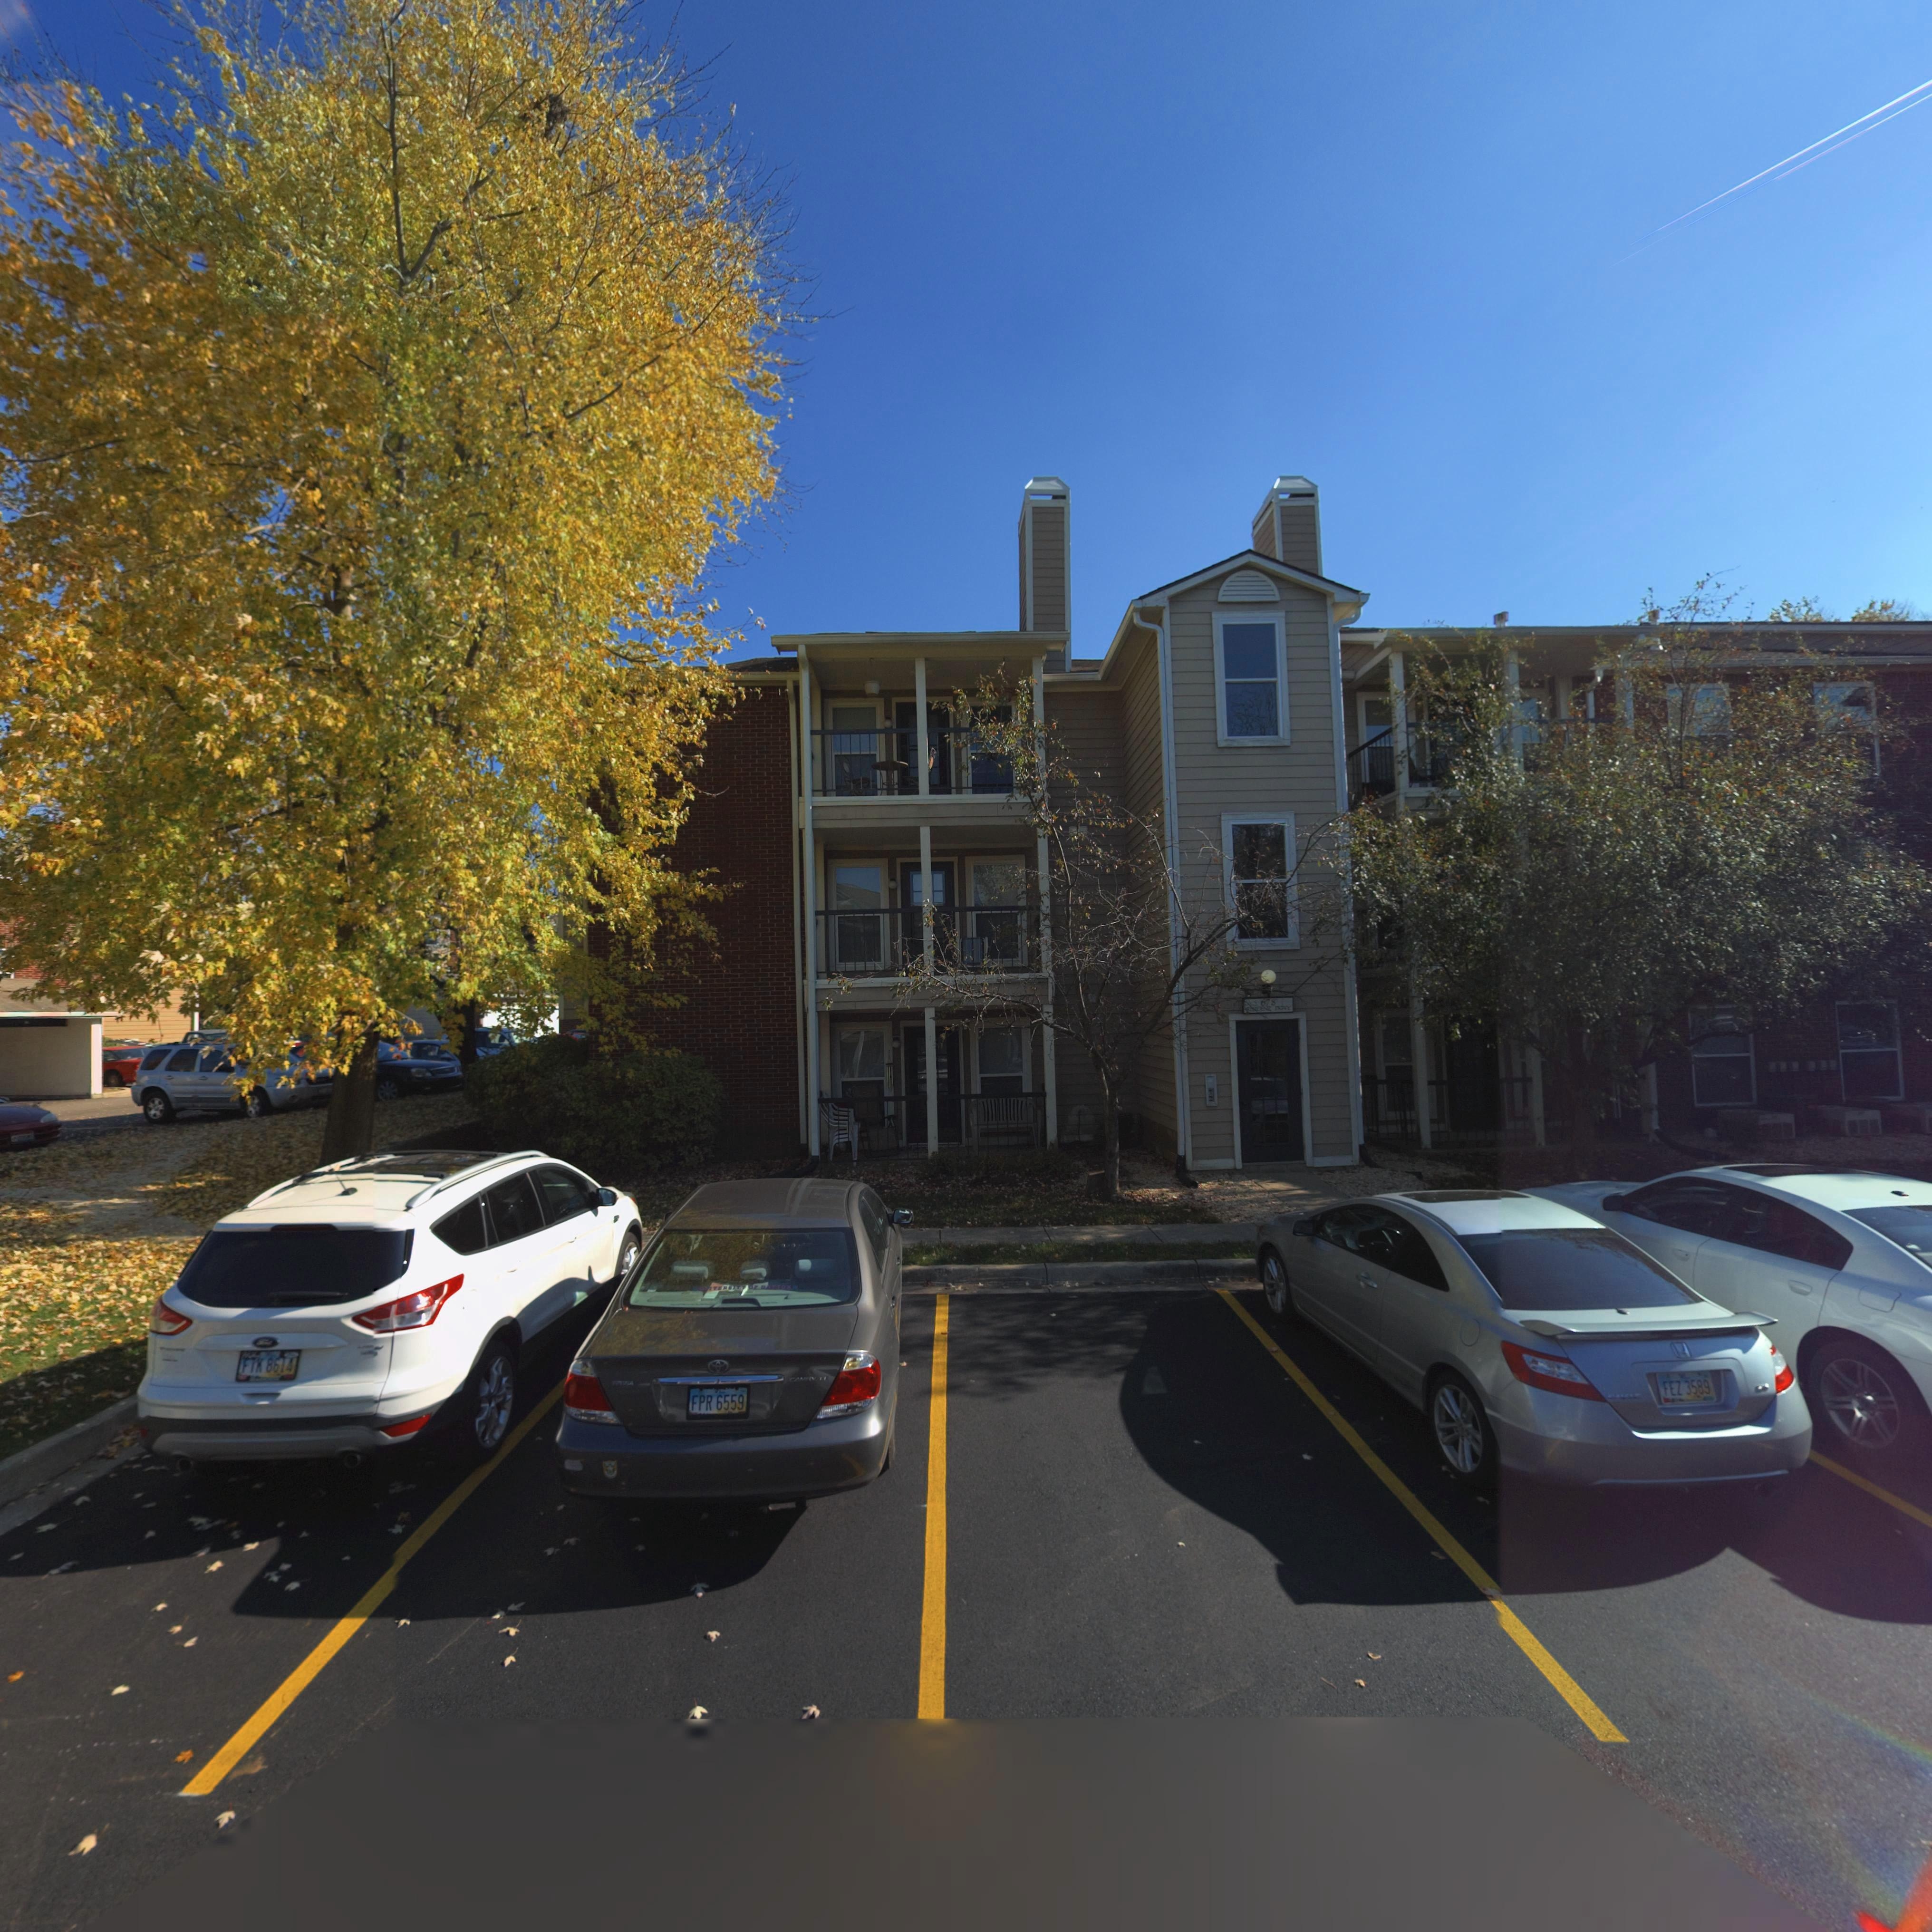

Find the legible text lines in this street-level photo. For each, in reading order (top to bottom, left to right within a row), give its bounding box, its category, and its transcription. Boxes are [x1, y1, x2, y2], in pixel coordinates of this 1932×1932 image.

[1259, 997, 1276, 1007] StreetNumber: 678
[240, 1356, 295, 1375] None: FIK 8614
[1661, 1377, 1713, 1398] None: FEZ 3589
[690, 1393, 745, 1412] None: FPR 6559